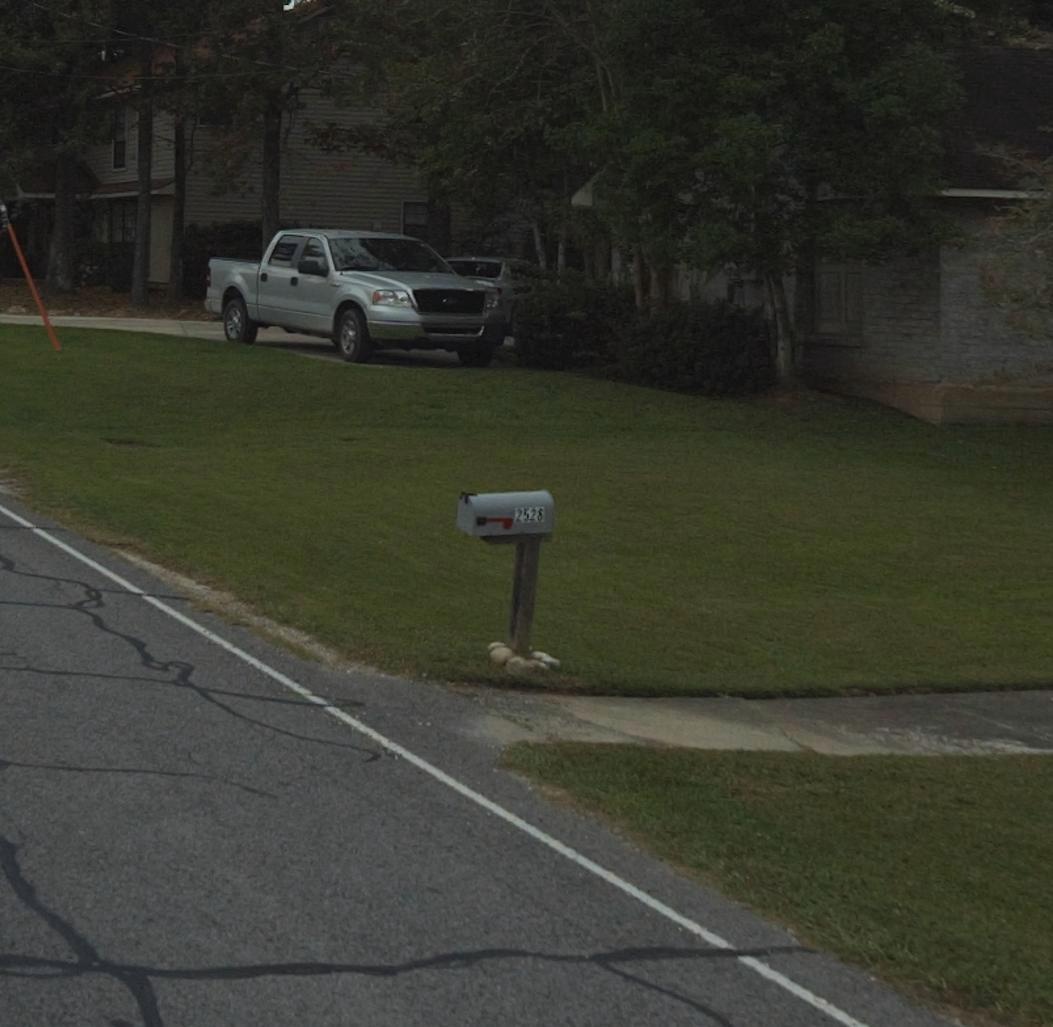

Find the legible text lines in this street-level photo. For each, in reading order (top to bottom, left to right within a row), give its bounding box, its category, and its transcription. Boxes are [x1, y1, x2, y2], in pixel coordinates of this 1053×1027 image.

[515, 508, 544, 522] StreetNumber: 2528